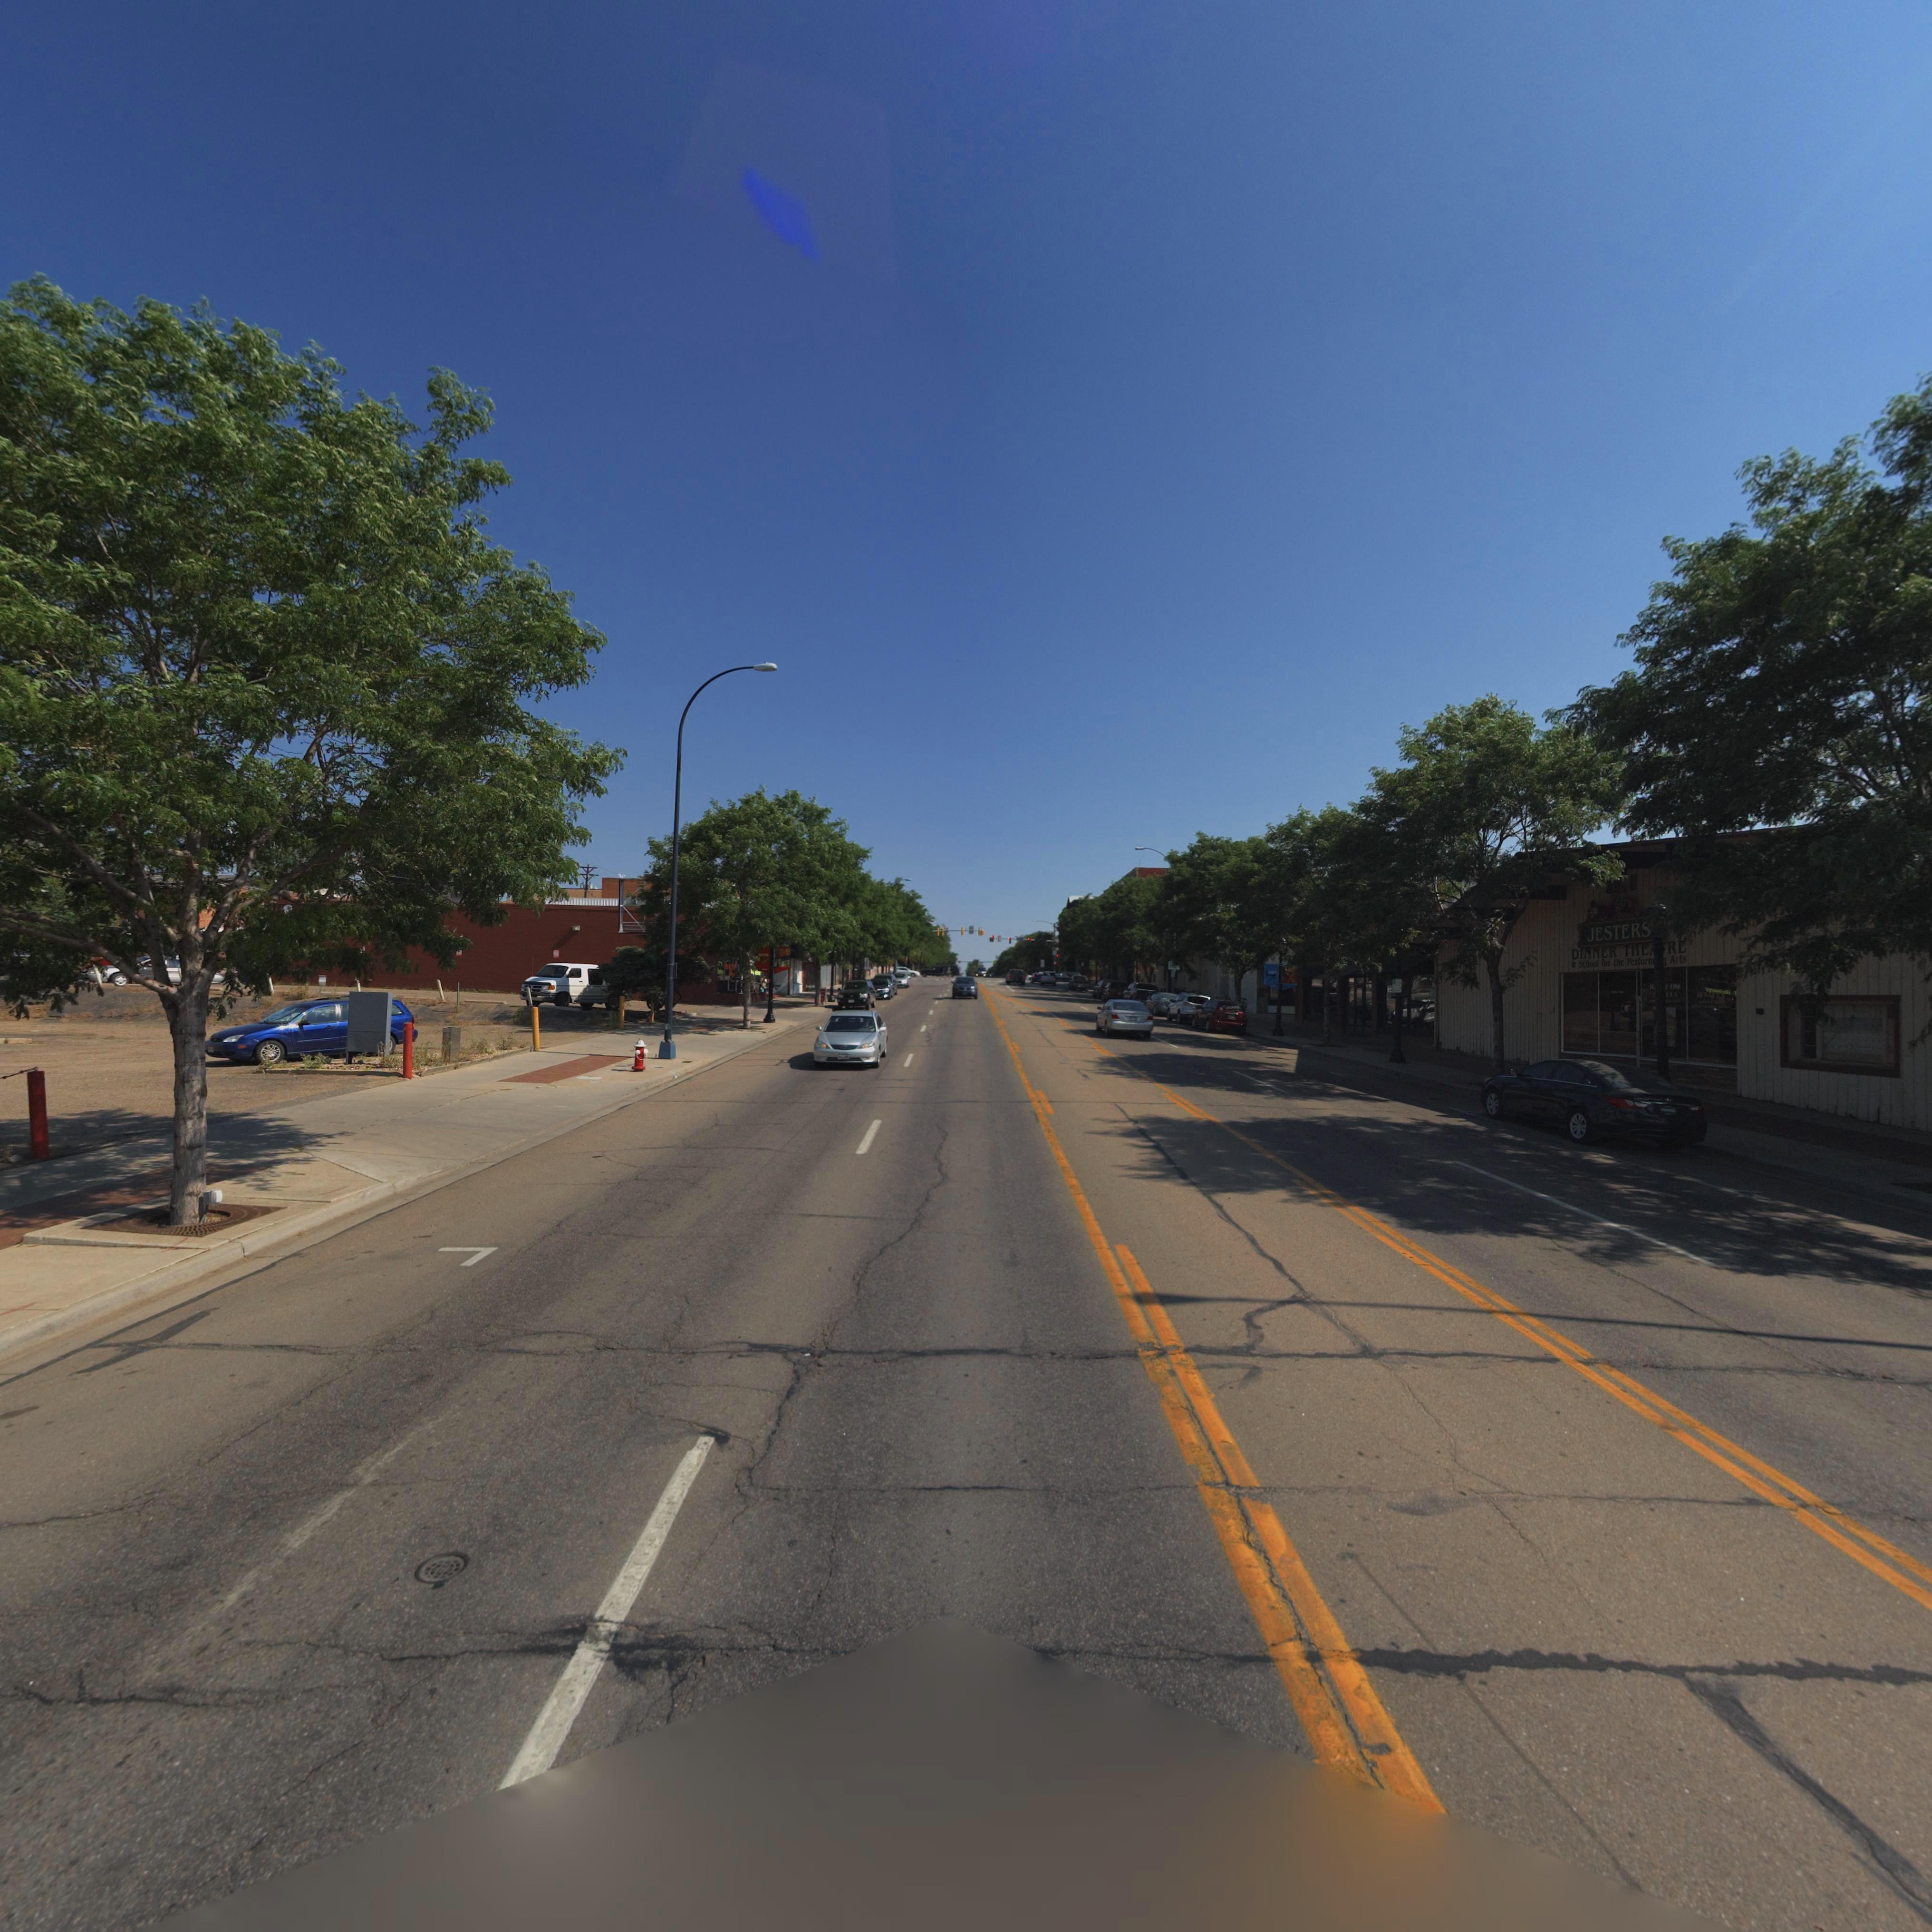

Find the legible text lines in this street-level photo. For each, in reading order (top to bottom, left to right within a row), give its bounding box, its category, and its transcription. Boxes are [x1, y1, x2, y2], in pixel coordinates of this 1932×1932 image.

[1586, 921, 1651, 942] BusinessName: JESTERS
[1571, 940, 1686, 960] BusinessName: DINNER THE**RE